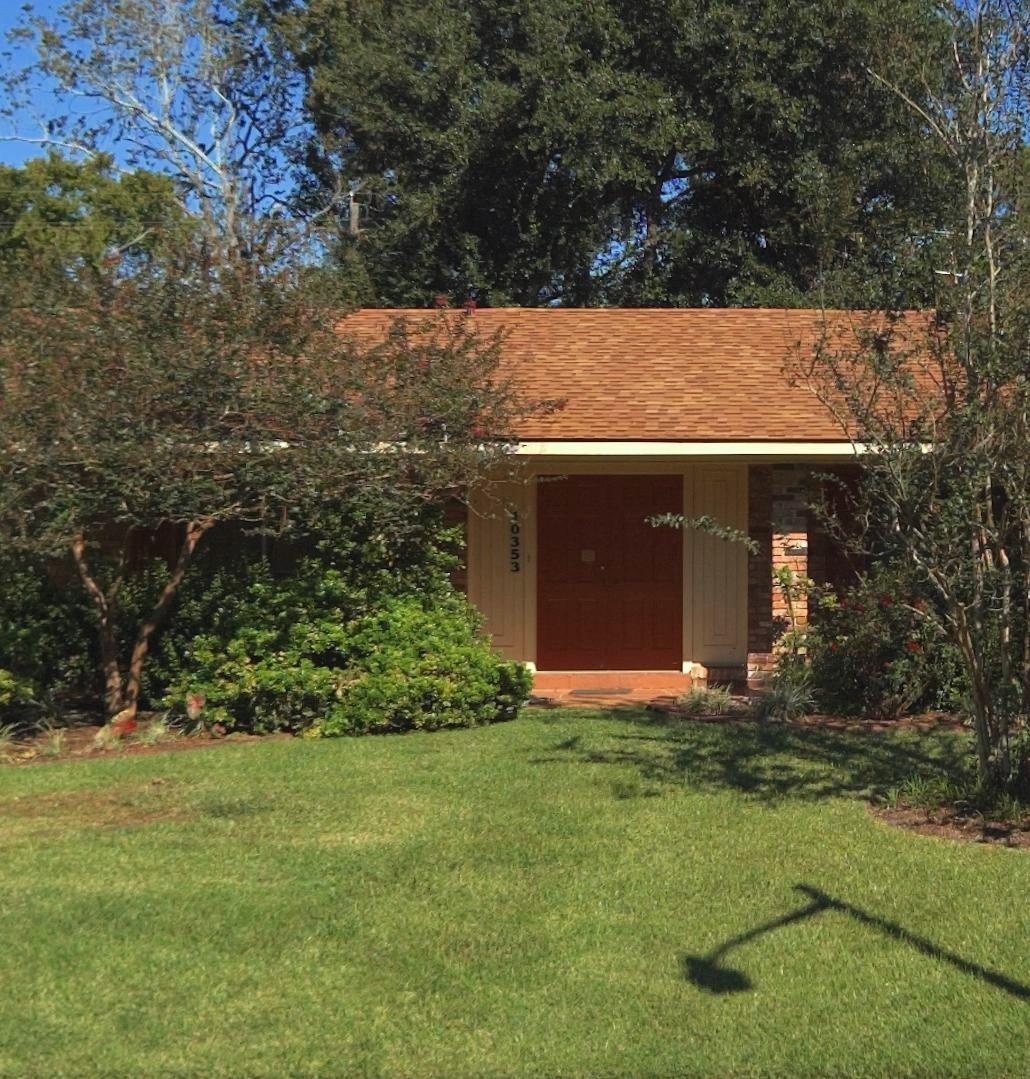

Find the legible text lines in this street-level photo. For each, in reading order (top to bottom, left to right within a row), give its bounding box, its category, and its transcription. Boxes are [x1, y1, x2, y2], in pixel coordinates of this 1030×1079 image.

[508, 509, 522, 574] StreetNumber: *0353